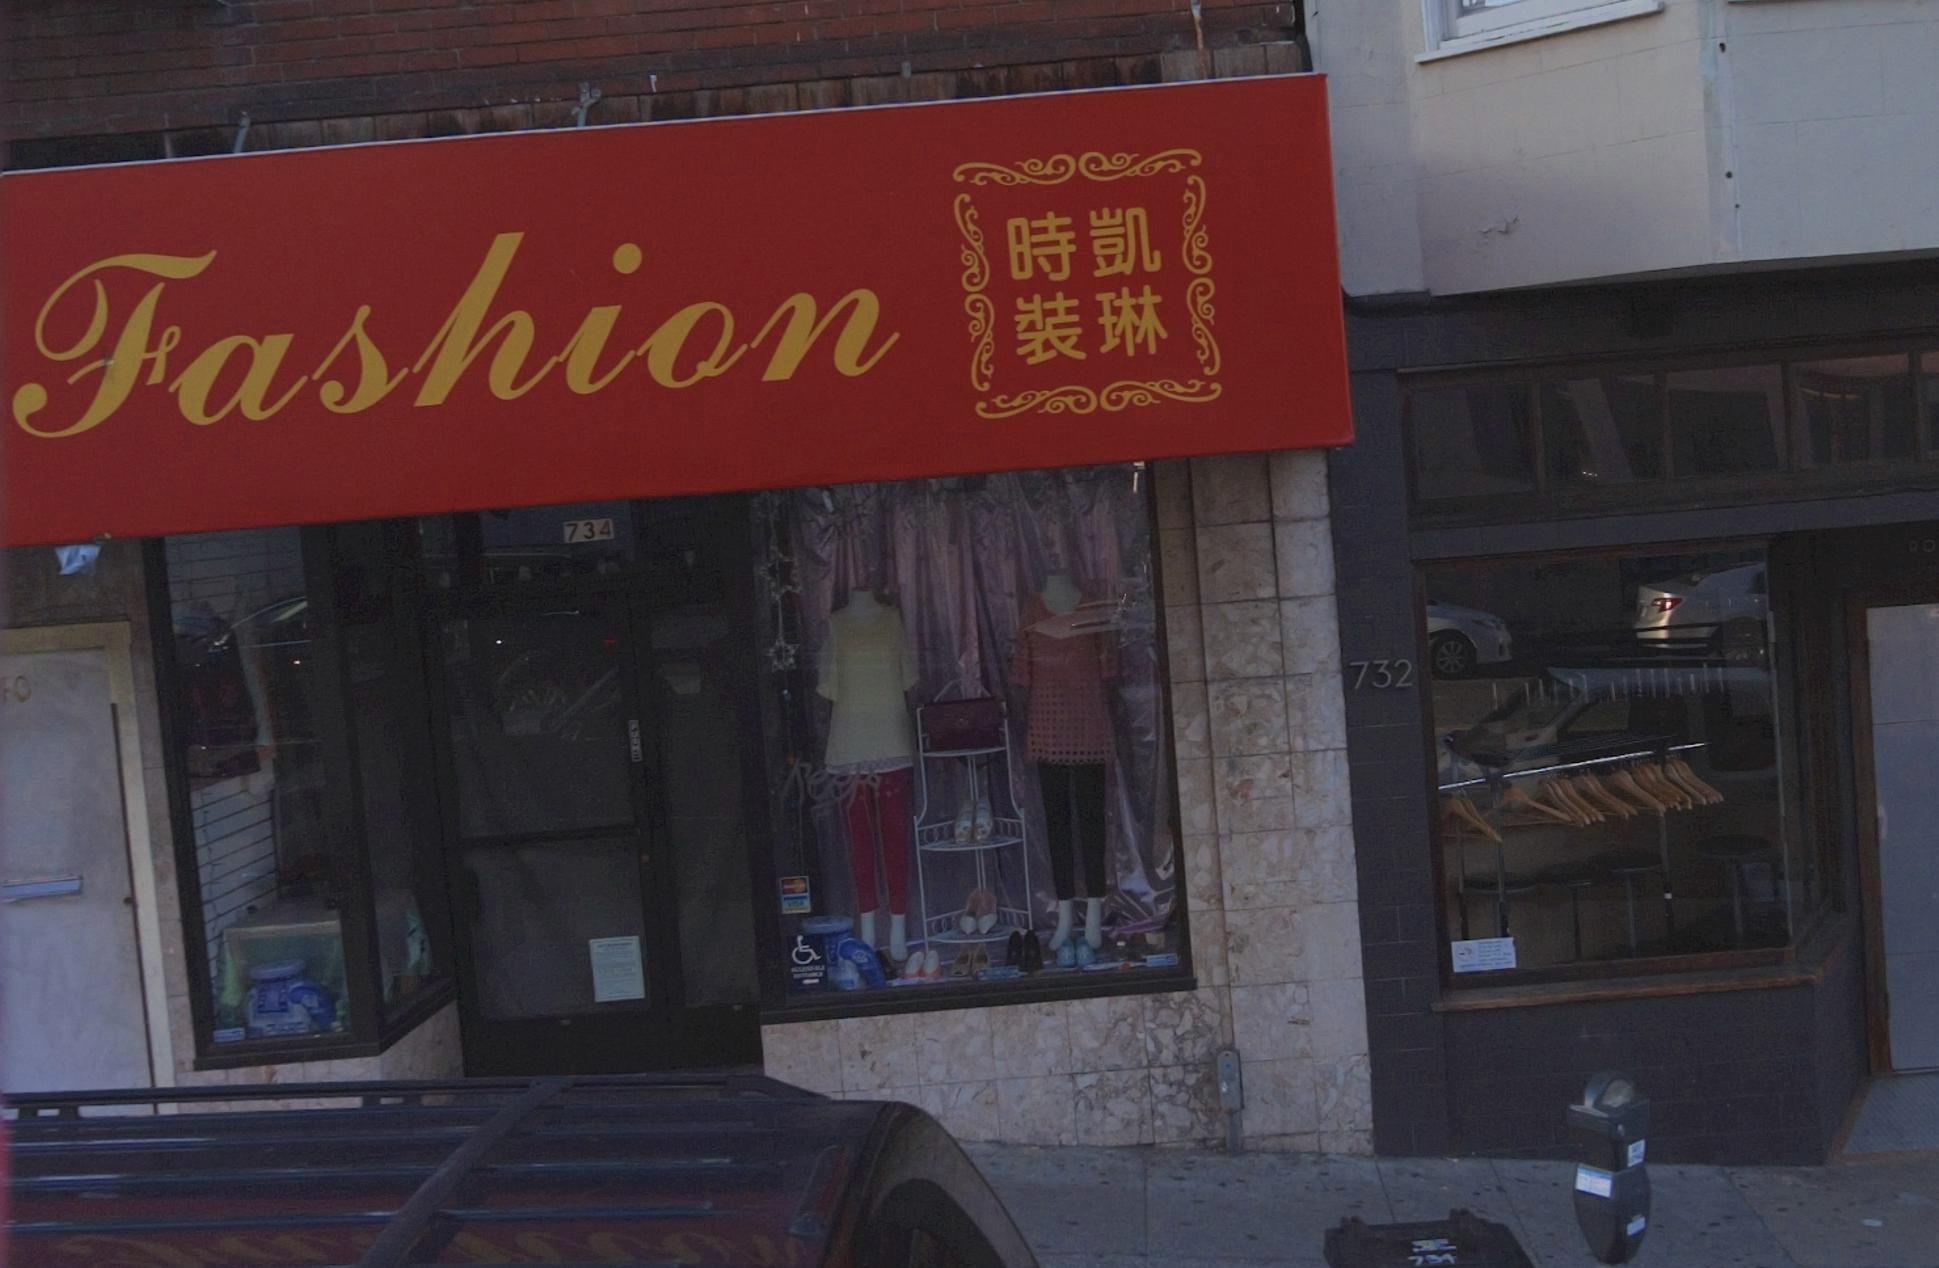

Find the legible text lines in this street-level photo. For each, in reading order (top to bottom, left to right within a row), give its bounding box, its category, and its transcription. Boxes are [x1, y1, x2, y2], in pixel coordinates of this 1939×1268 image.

[8, 204, 912, 446] BusinessName: Fashion
[564, 519, 613, 542] StreetNumber: 734
[1920, 537, 1937, 555] None: o
[1348, 657, 1415, 691] StreetNumber: 732
[12, 675, 34, 705] None: 0